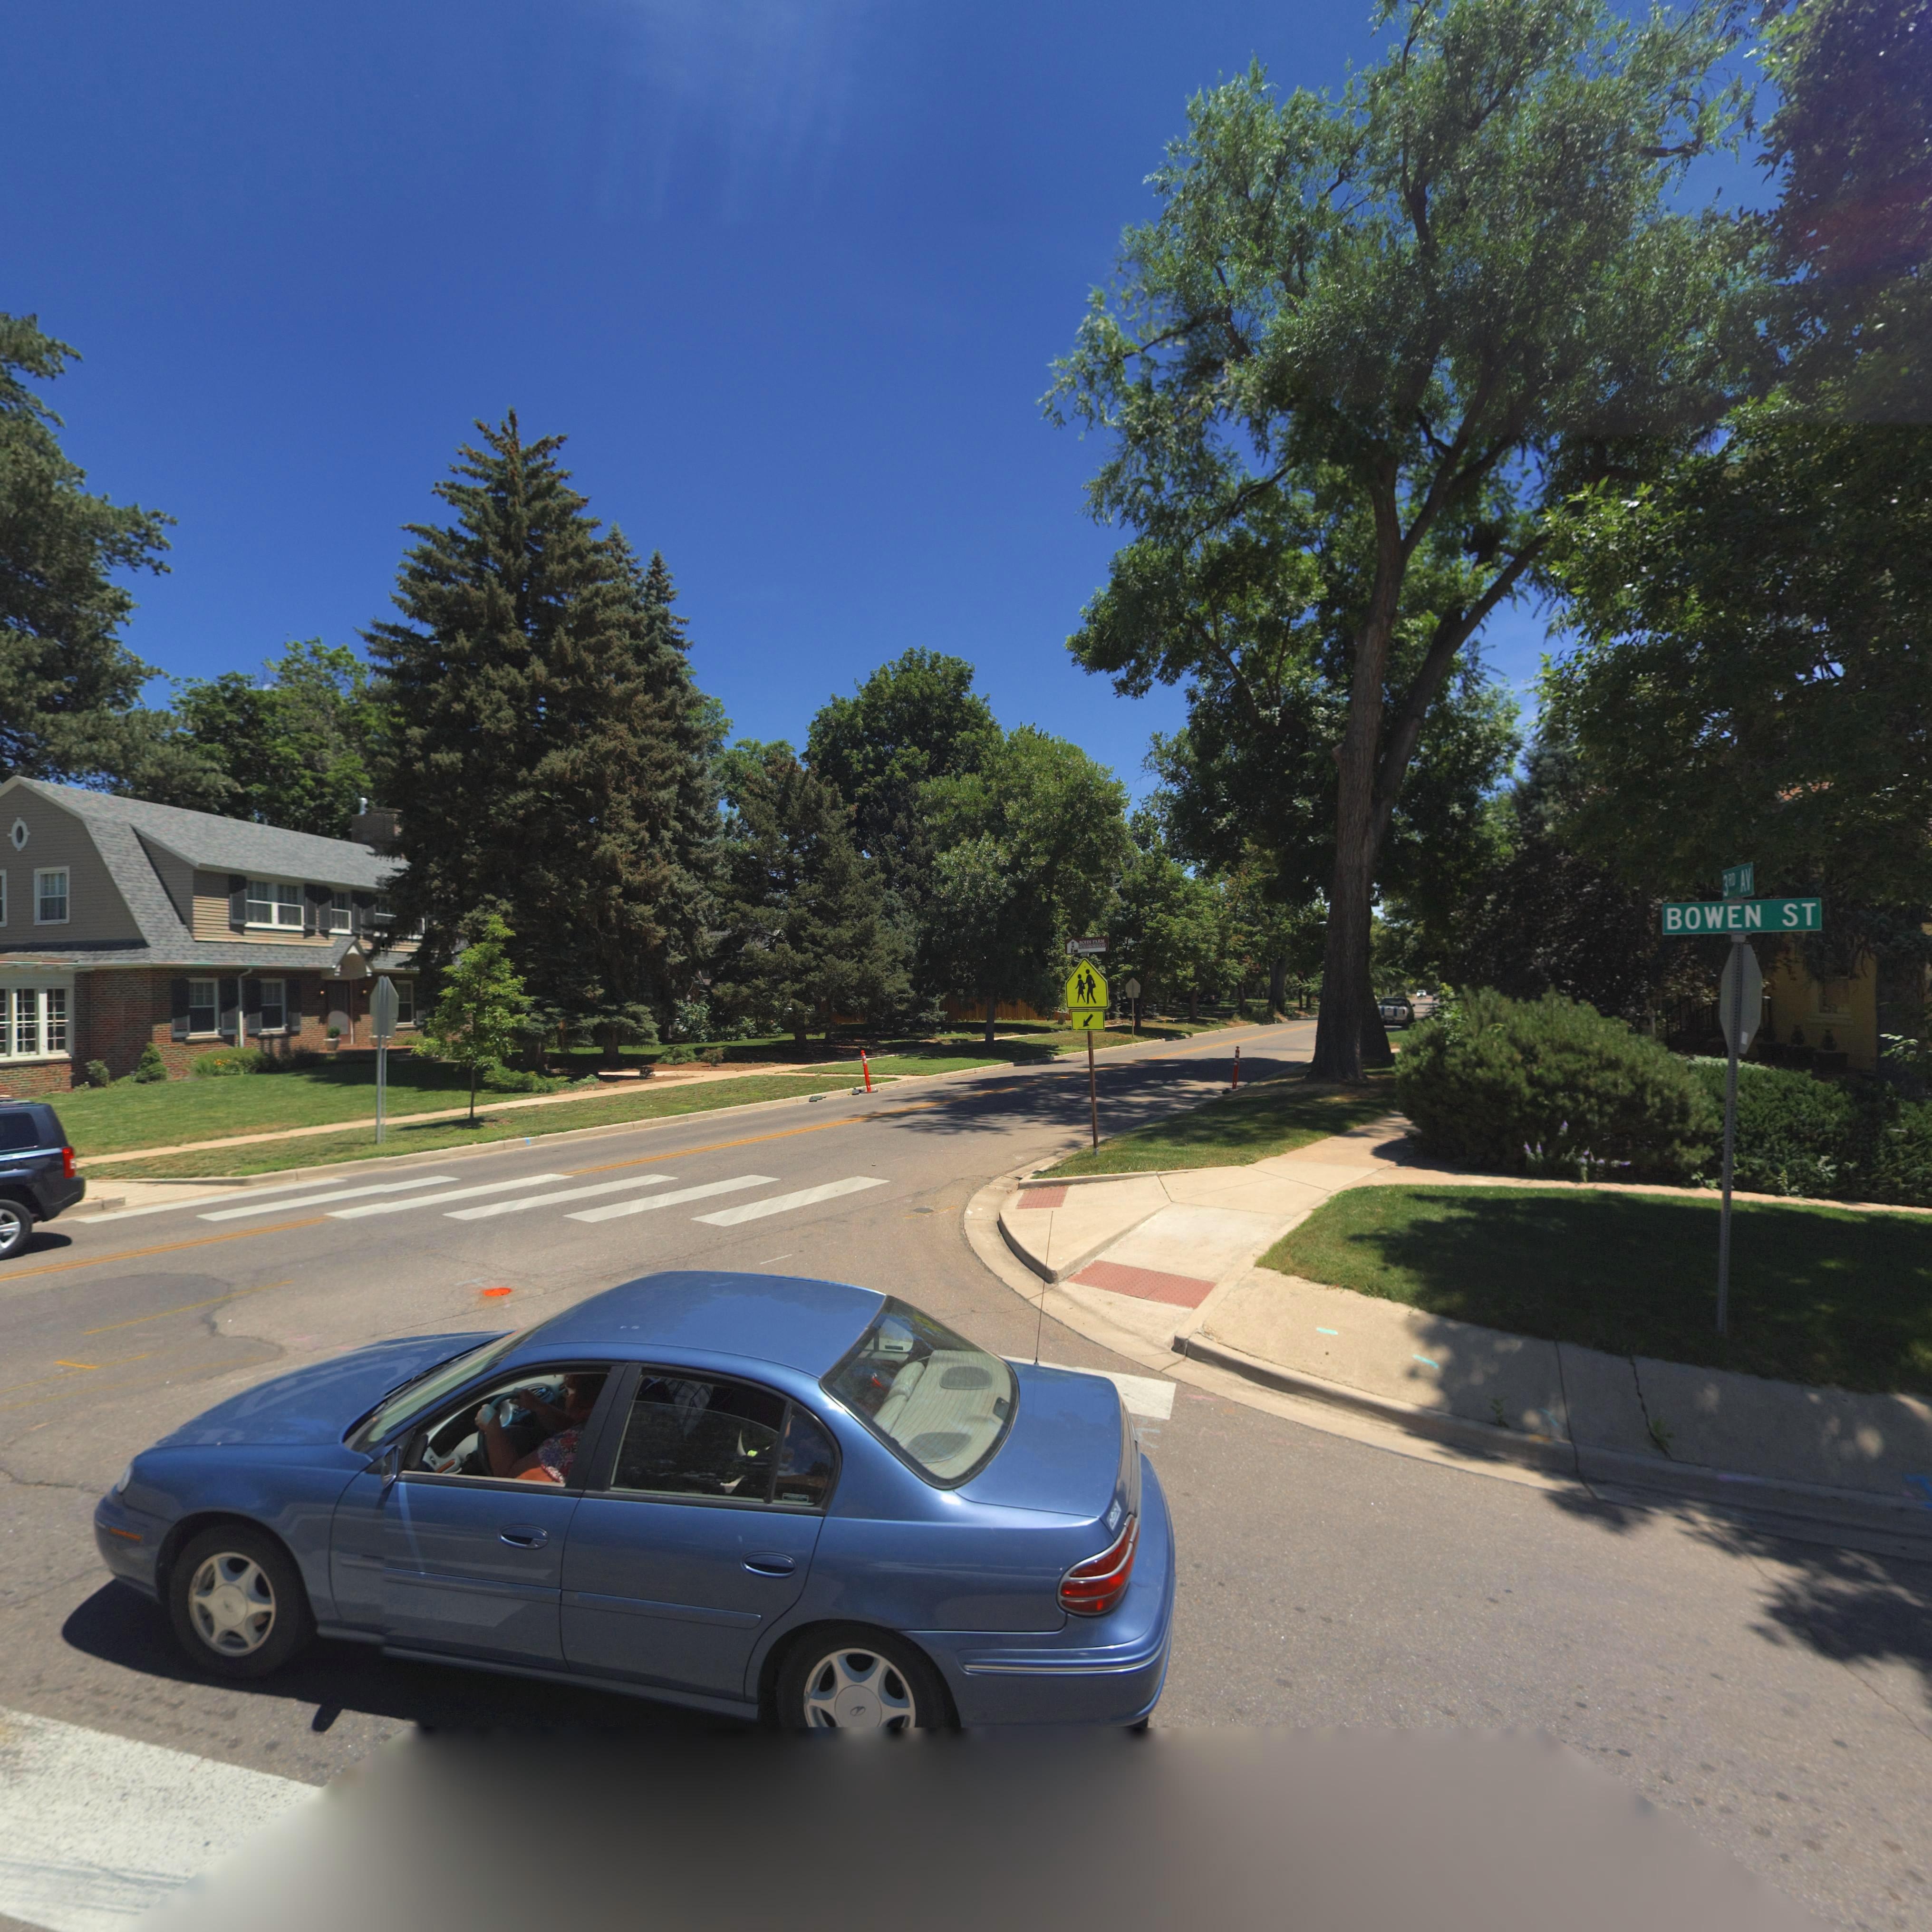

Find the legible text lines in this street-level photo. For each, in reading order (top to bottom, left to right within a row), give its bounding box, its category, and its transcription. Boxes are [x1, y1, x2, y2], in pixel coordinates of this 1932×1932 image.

[1722, 866, 1752, 898] StreetName: 3RD AV
[1666, 902, 1818, 930] StreetName: BOWEN ST